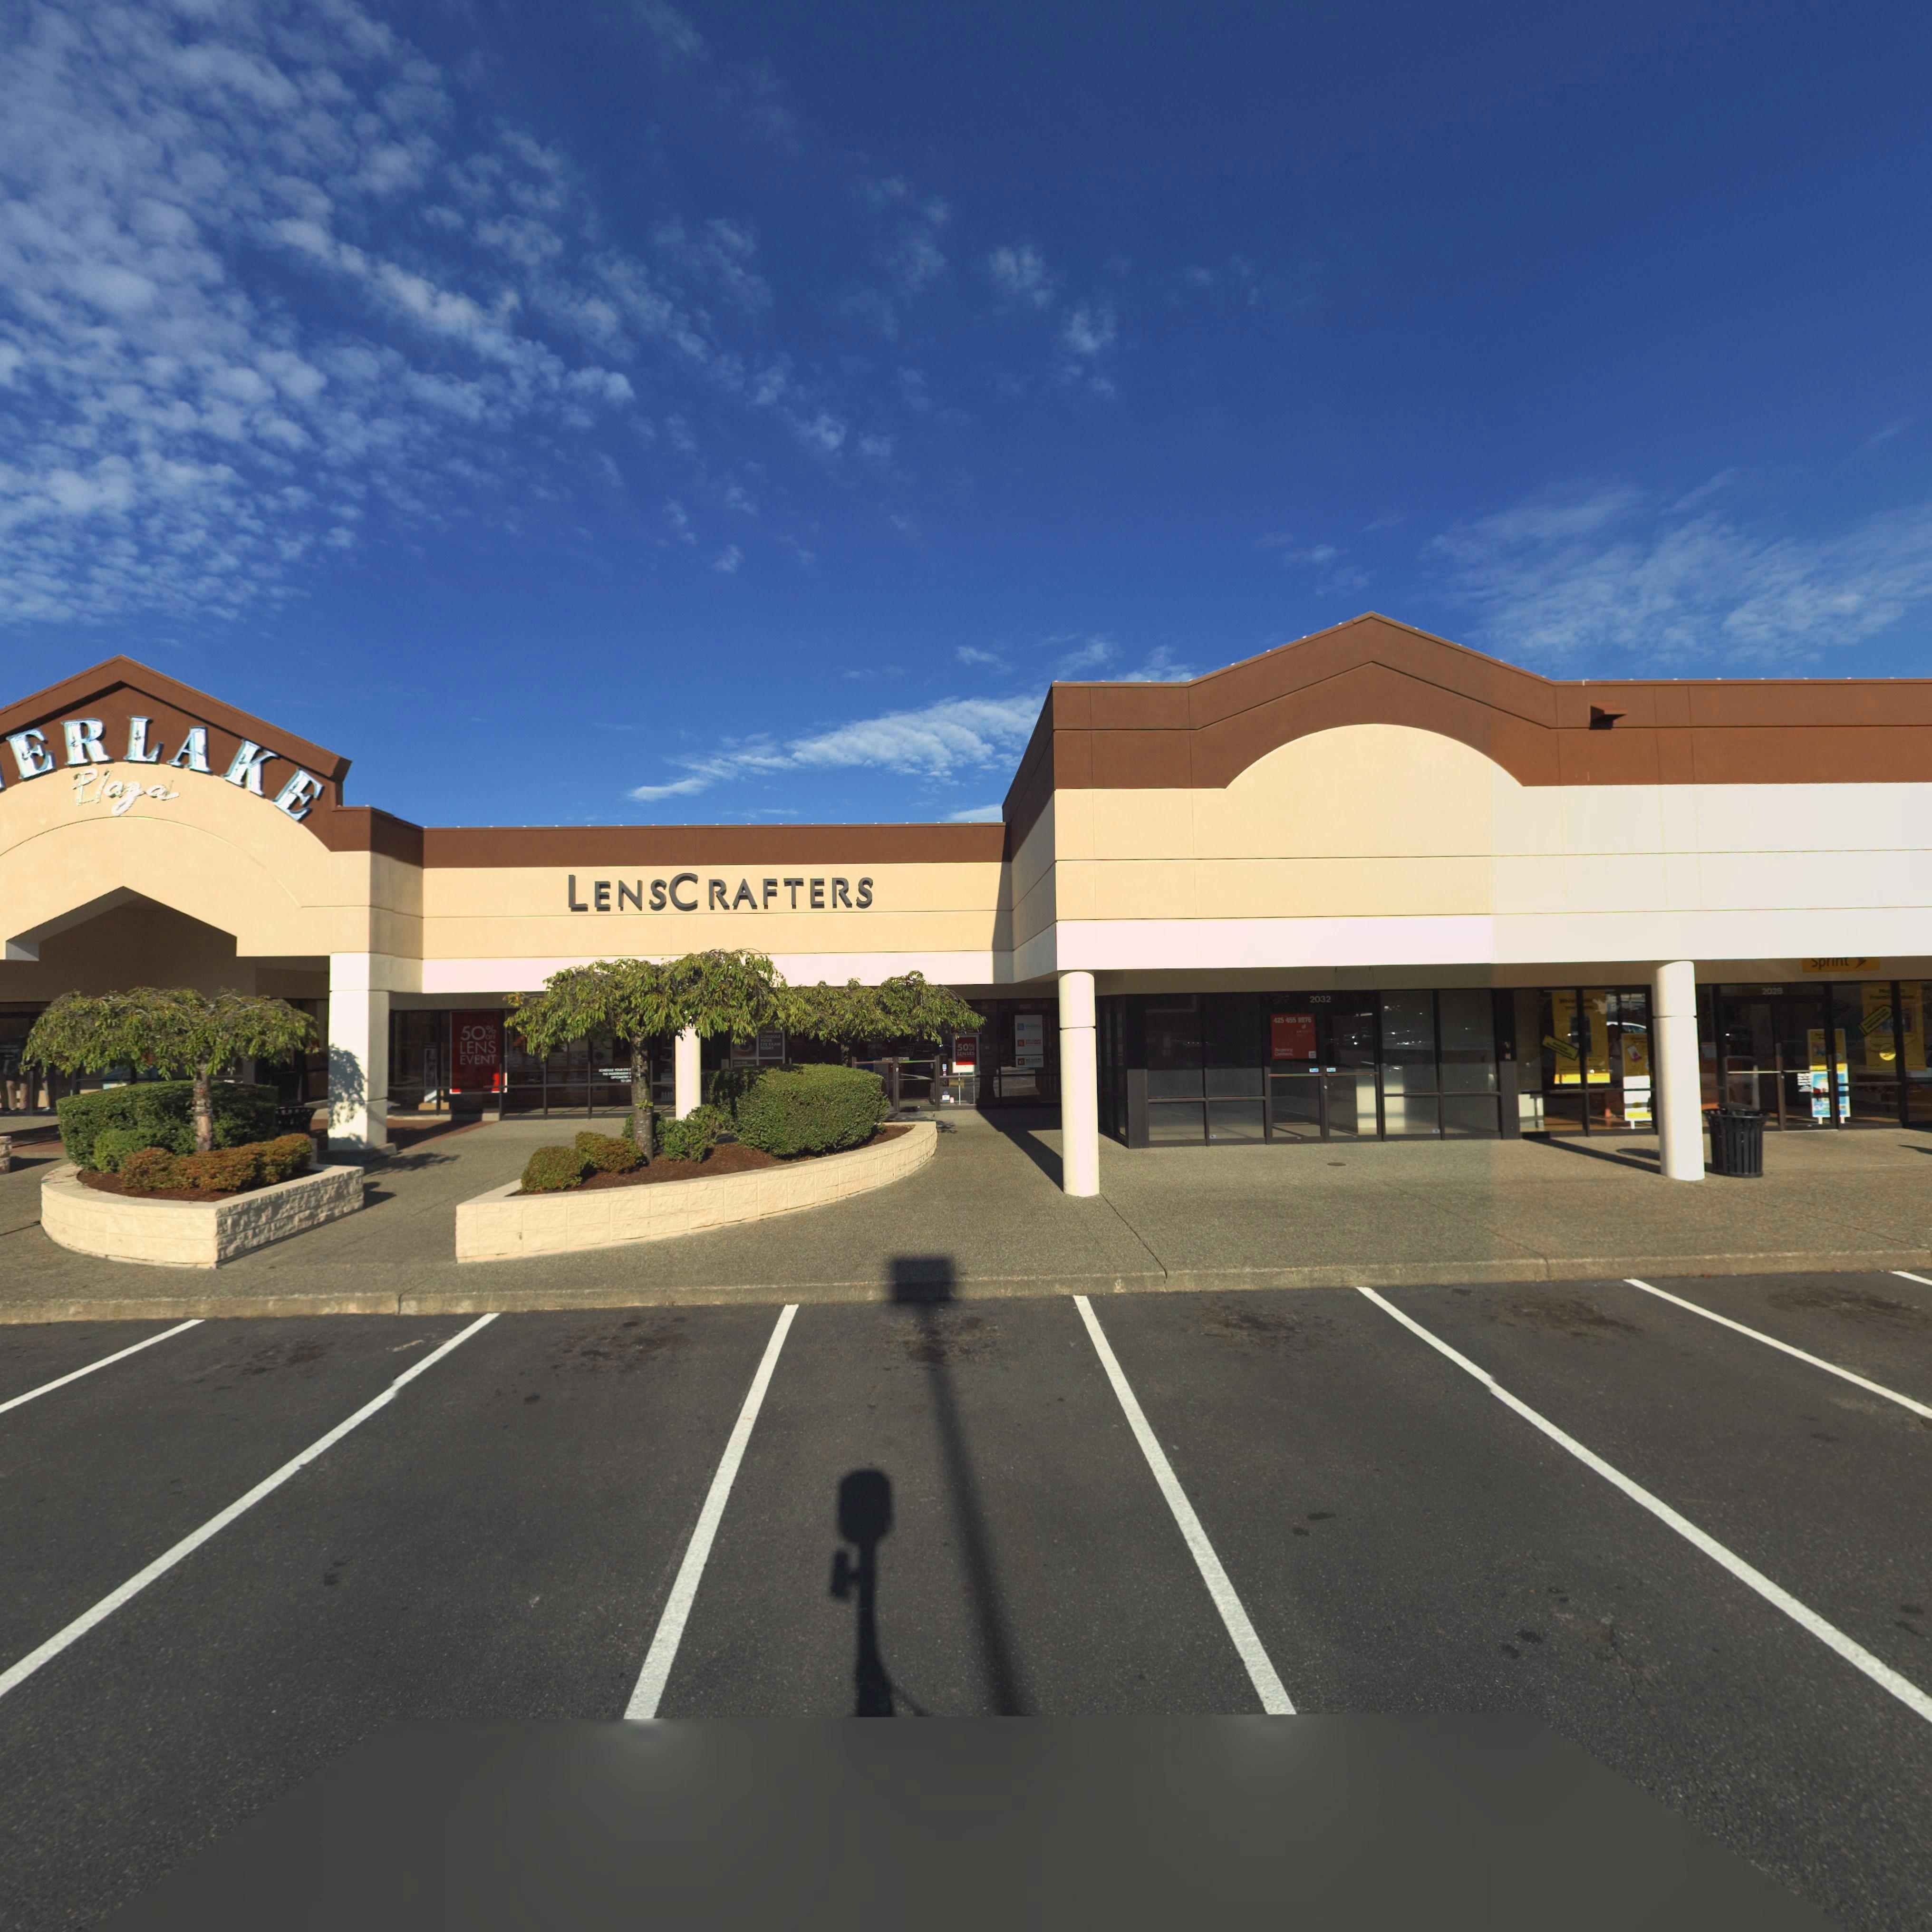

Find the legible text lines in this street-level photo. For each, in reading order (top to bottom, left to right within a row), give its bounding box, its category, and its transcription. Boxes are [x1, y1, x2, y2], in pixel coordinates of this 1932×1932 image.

[568, 873, 873, 912] BusinessName: LENSCRAFTERS
[1818, 957, 1850, 971] BusinessName: prin
[1761, 986, 1783, 995] StreetNumber: 2028
[1309, 995, 1330, 1003] StreetNumber: 2032